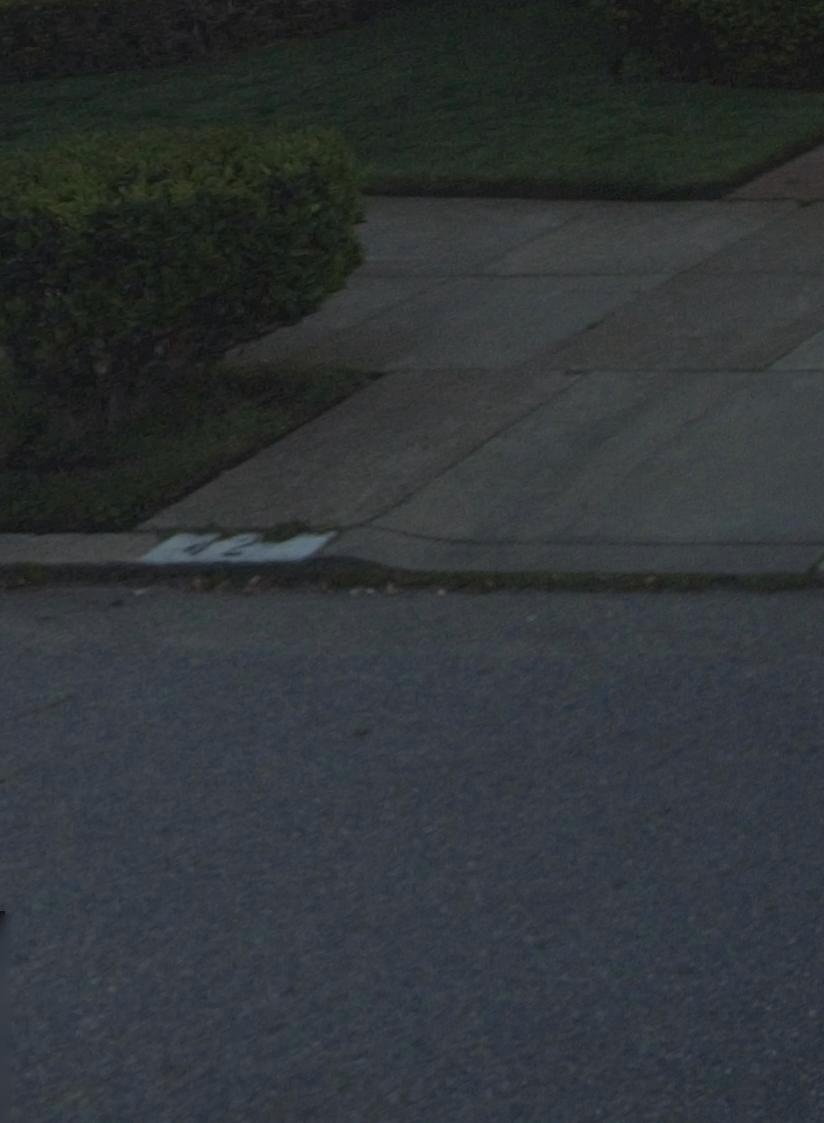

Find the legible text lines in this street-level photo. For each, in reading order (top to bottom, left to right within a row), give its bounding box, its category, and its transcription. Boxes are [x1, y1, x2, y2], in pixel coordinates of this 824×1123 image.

[178, 534, 269, 560] StreetNumber: 42